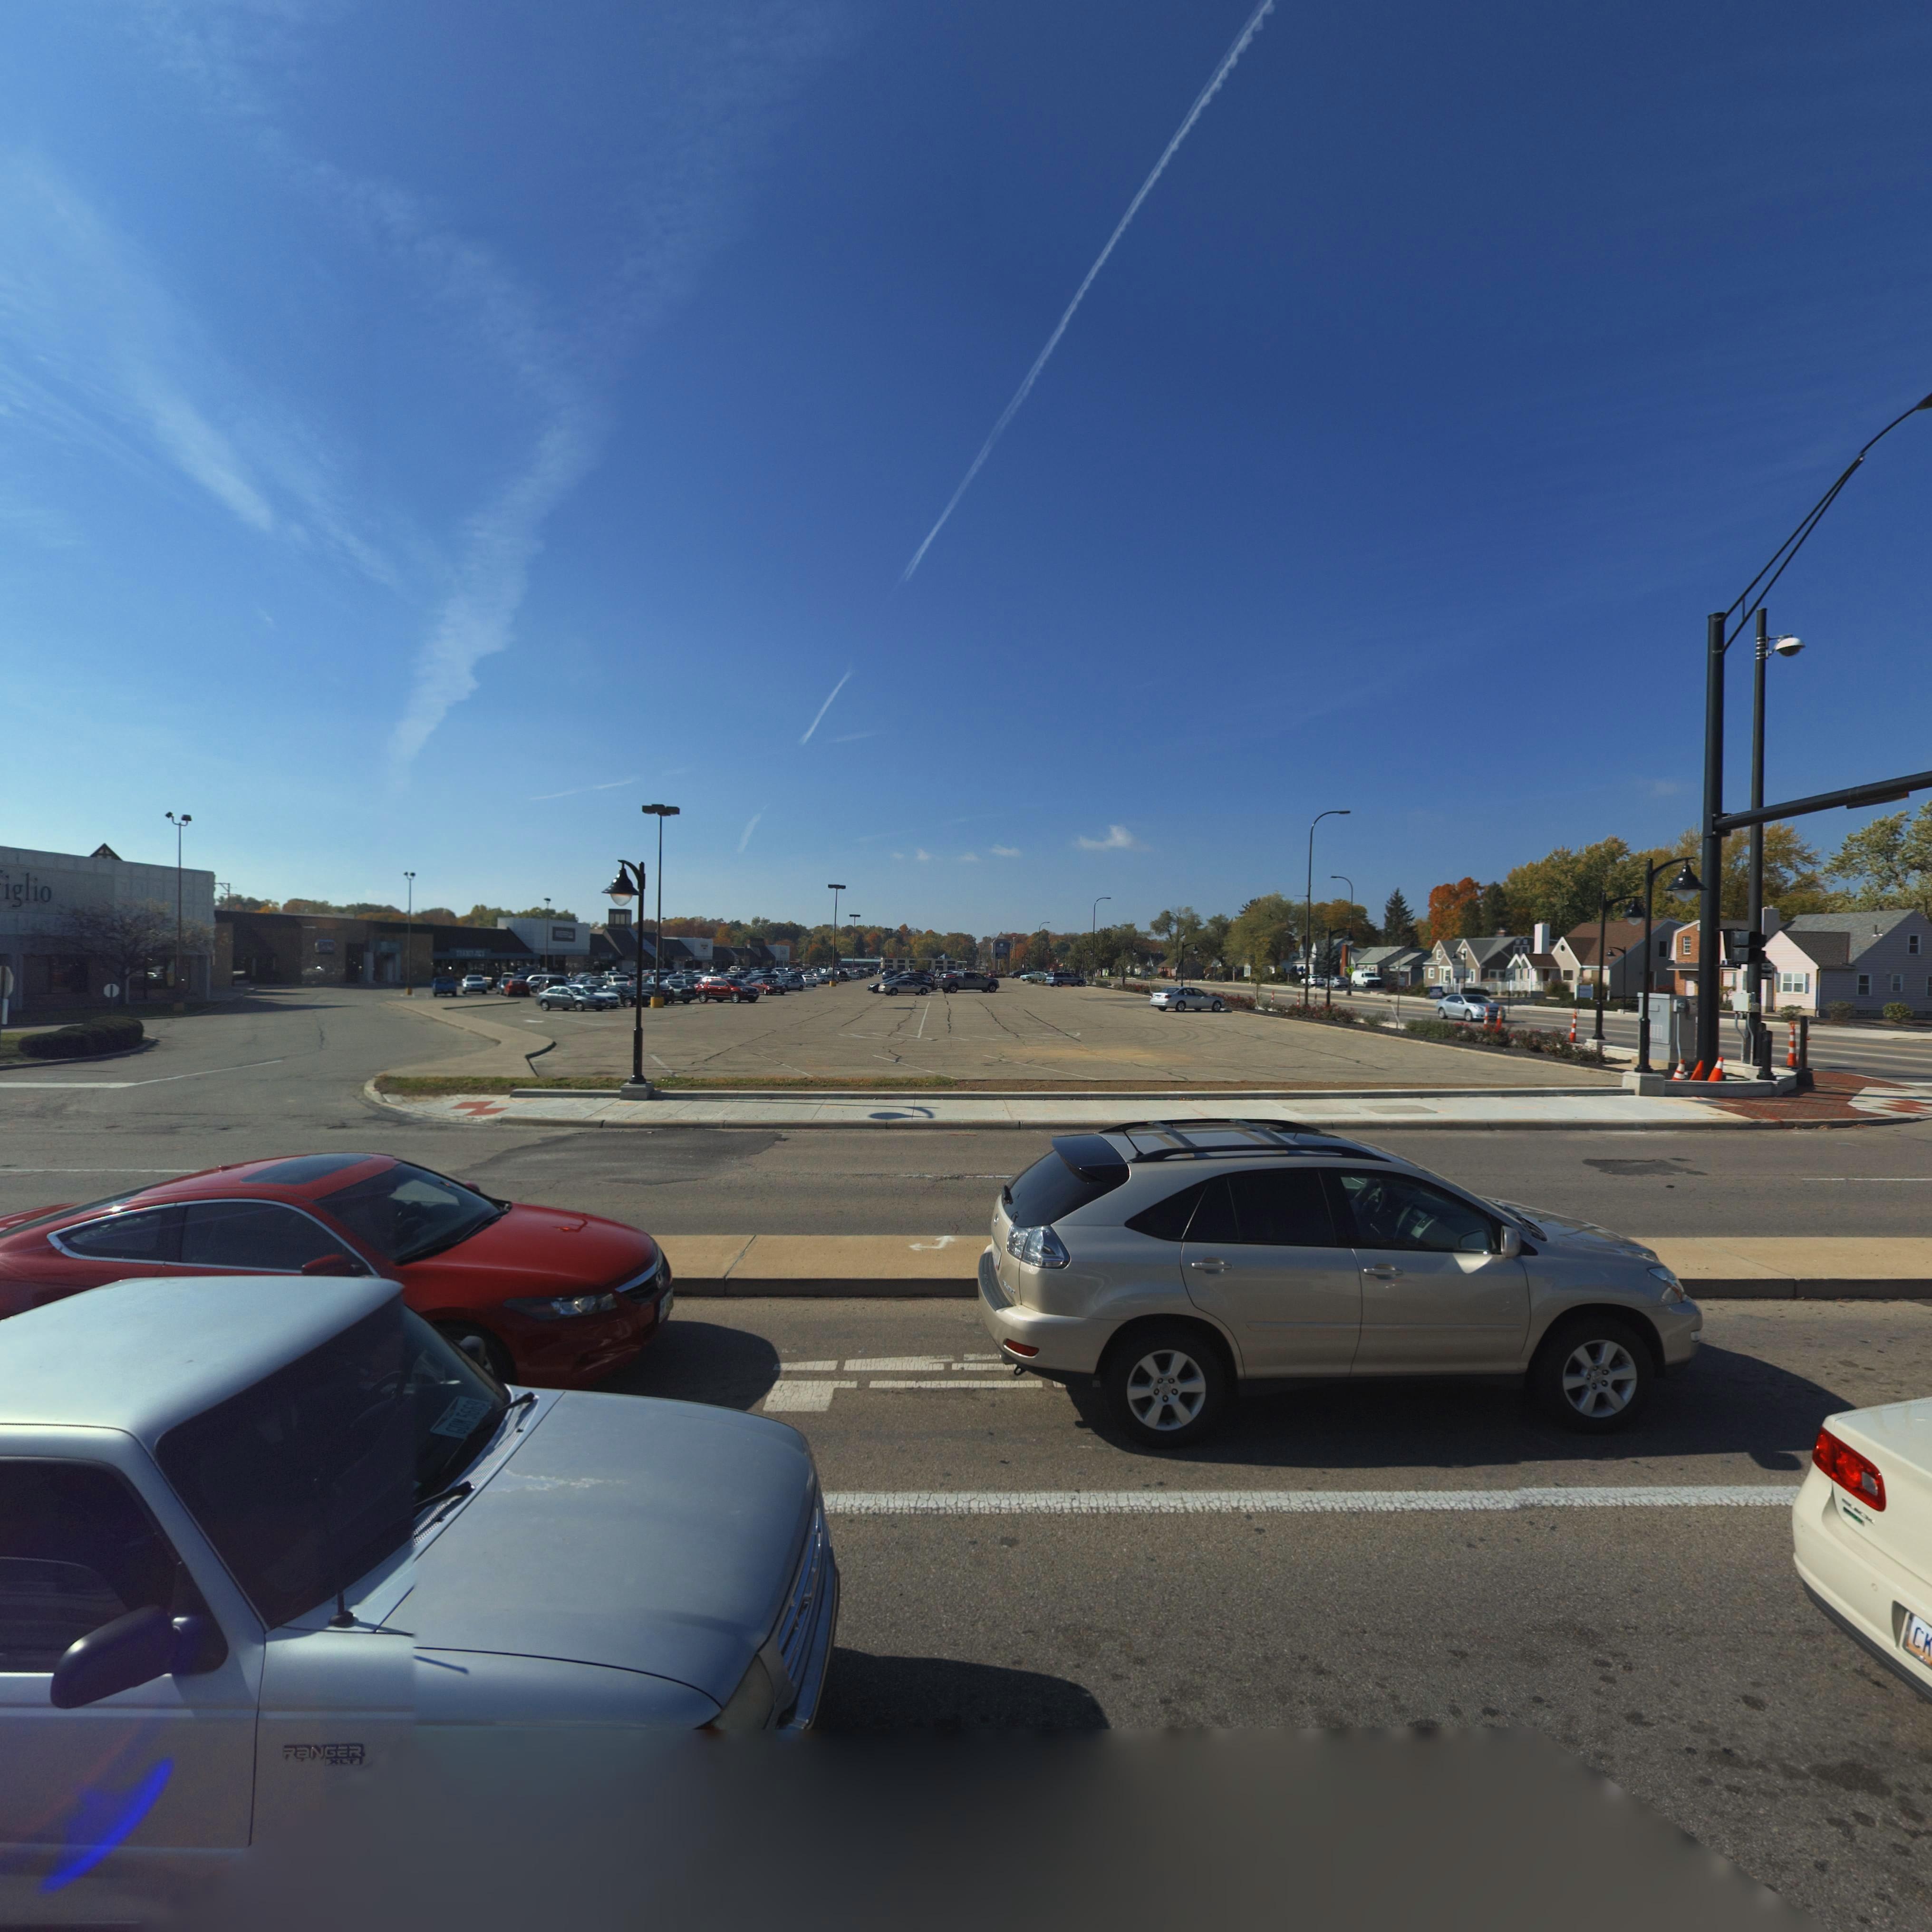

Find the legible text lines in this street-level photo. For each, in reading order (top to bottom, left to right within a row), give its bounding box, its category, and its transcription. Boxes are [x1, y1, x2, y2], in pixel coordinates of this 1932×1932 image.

[3, 871, 52, 908] BusinessName: iglio
[1912, 1625, 1932, 1658] None: CK
[282, 1746, 362, 1759] None: RaNGER
[328, 1758, 357, 1766] None: XLT